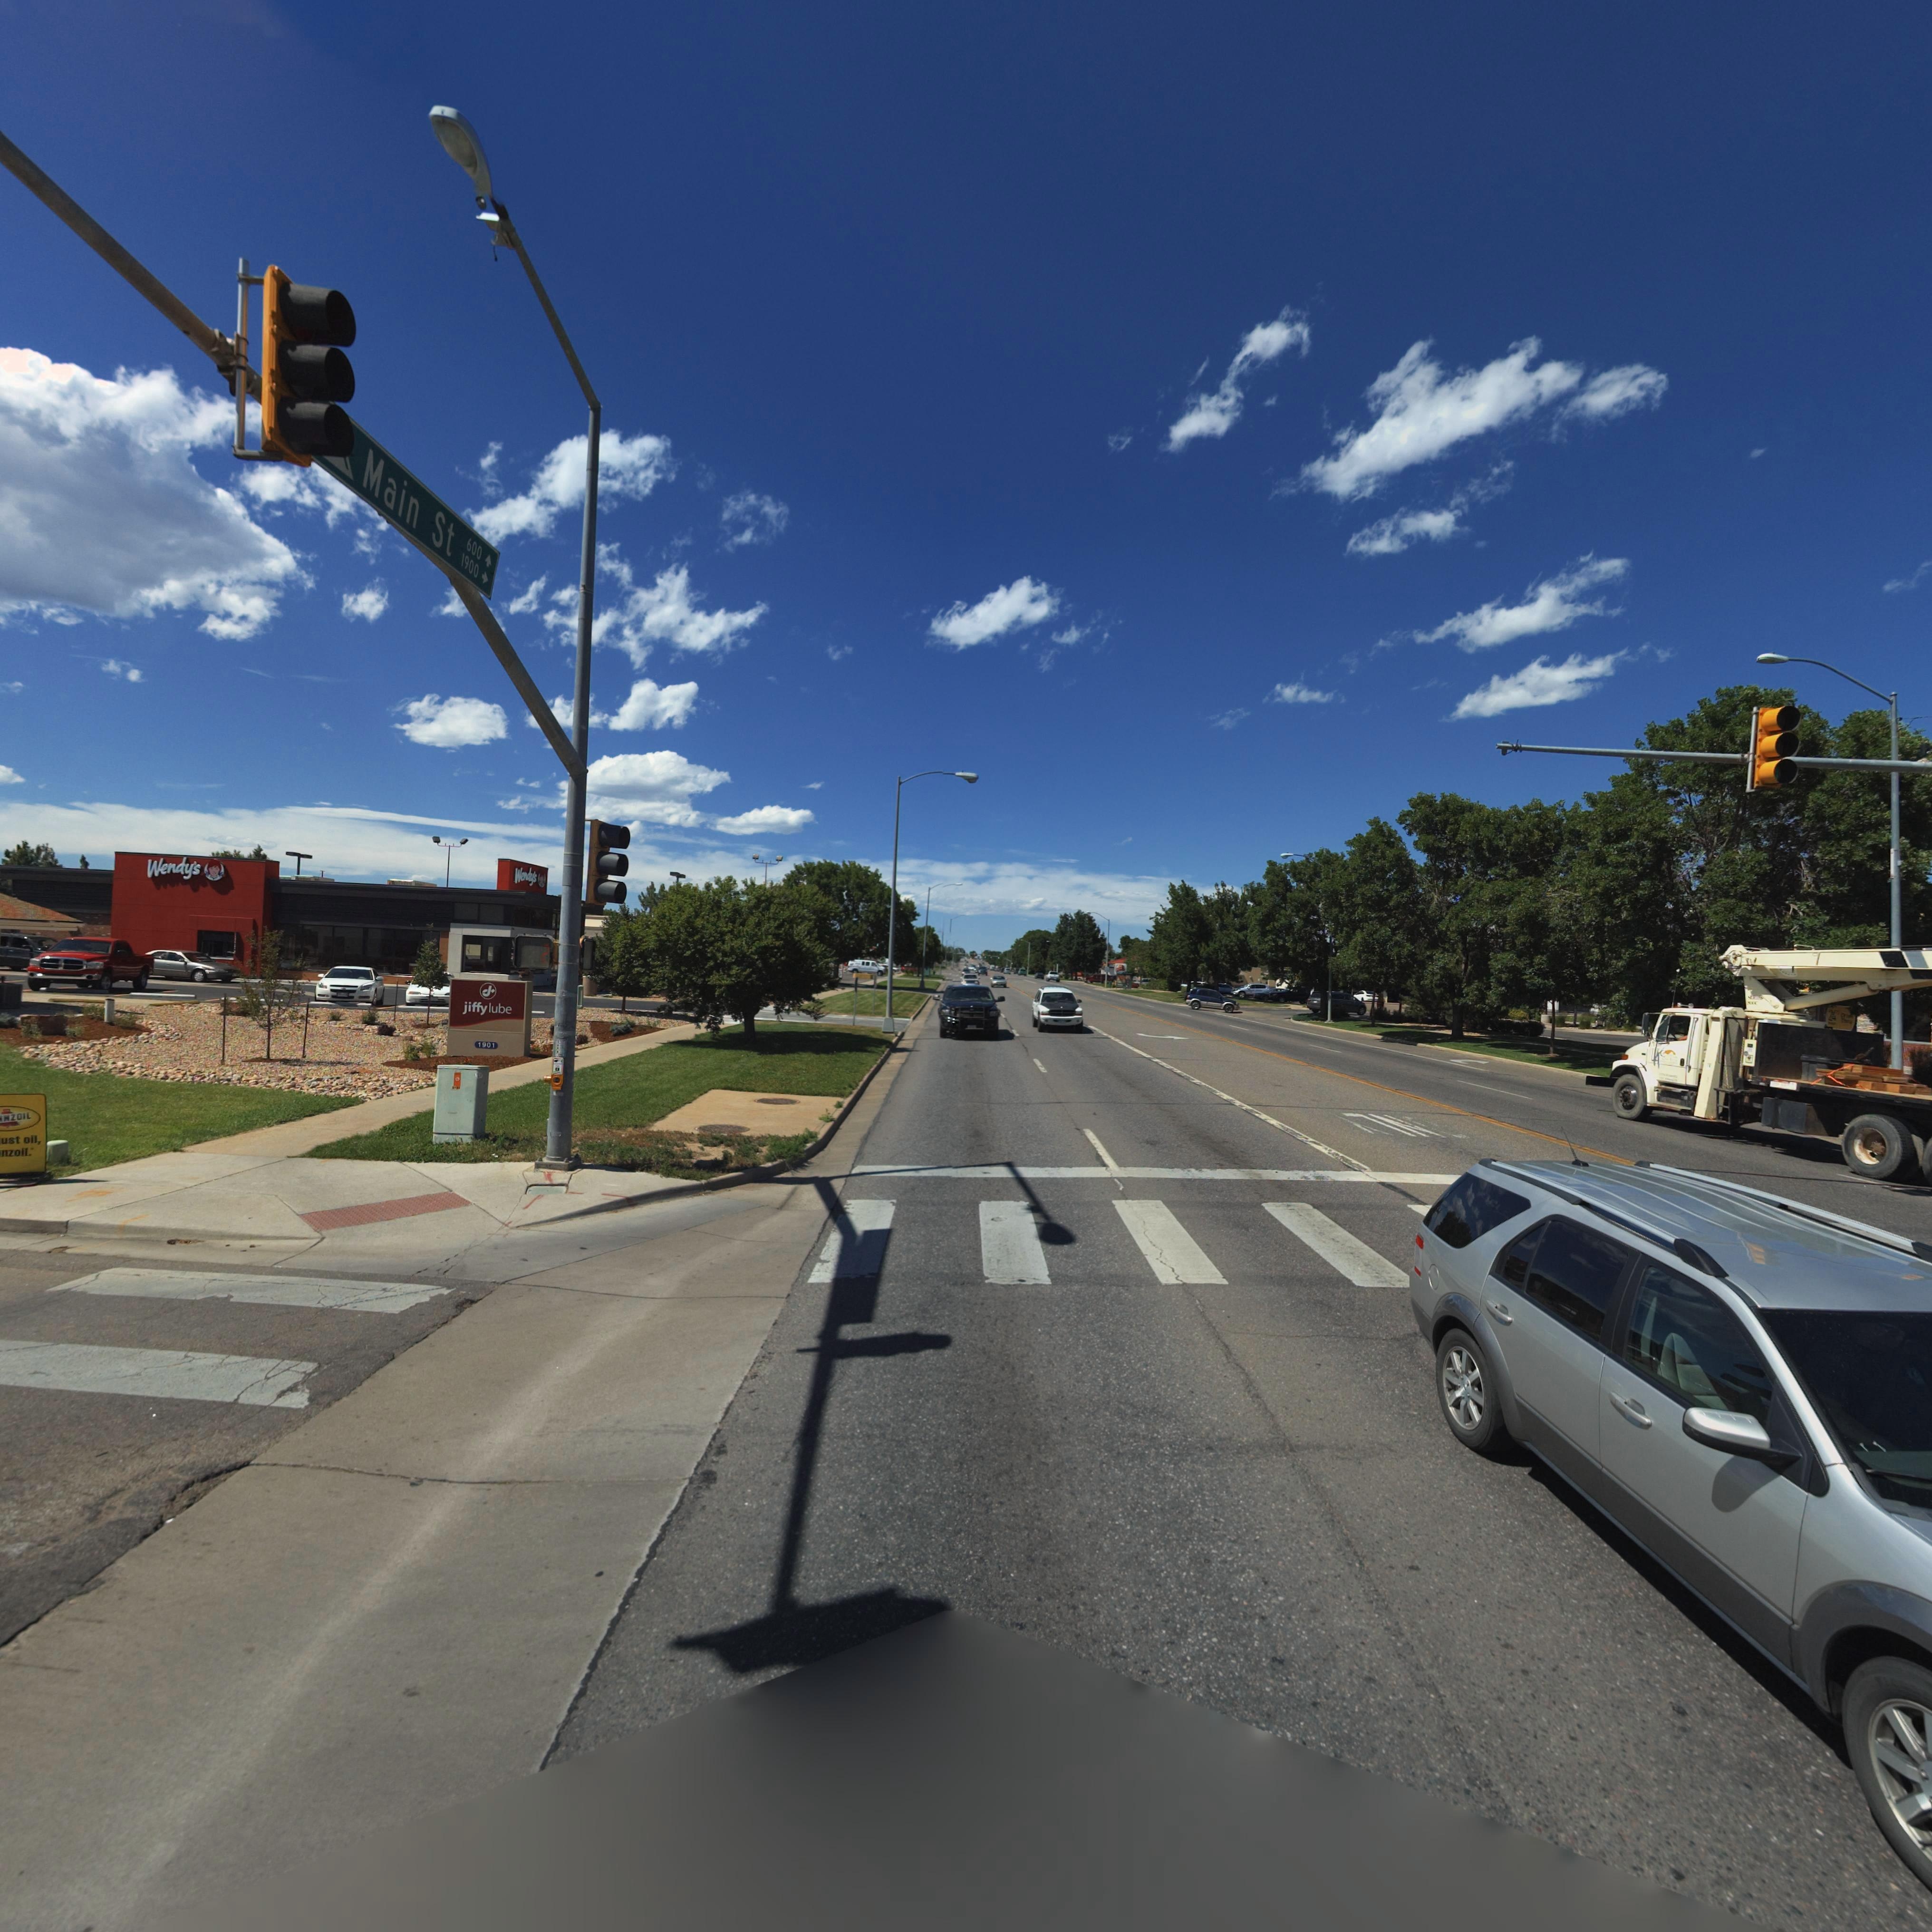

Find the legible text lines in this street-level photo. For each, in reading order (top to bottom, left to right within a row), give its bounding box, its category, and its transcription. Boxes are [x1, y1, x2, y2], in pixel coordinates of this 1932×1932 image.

[361, 448, 458, 559] StreetName: Main St
[466, 536, 484, 560] StreetNumberRange: 600
[460, 552, 490, 584] StreetNumberRange: 1900 ->
[146, 856, 201, 880] BusinessName: Wendy's
[515, 867, 537, 886] BusinessName: Wendy's
[461, 1001, 512, 1016] BusinessName: jiffy lube
[477, 1042, 495, 1048] StreetNumber: 1901